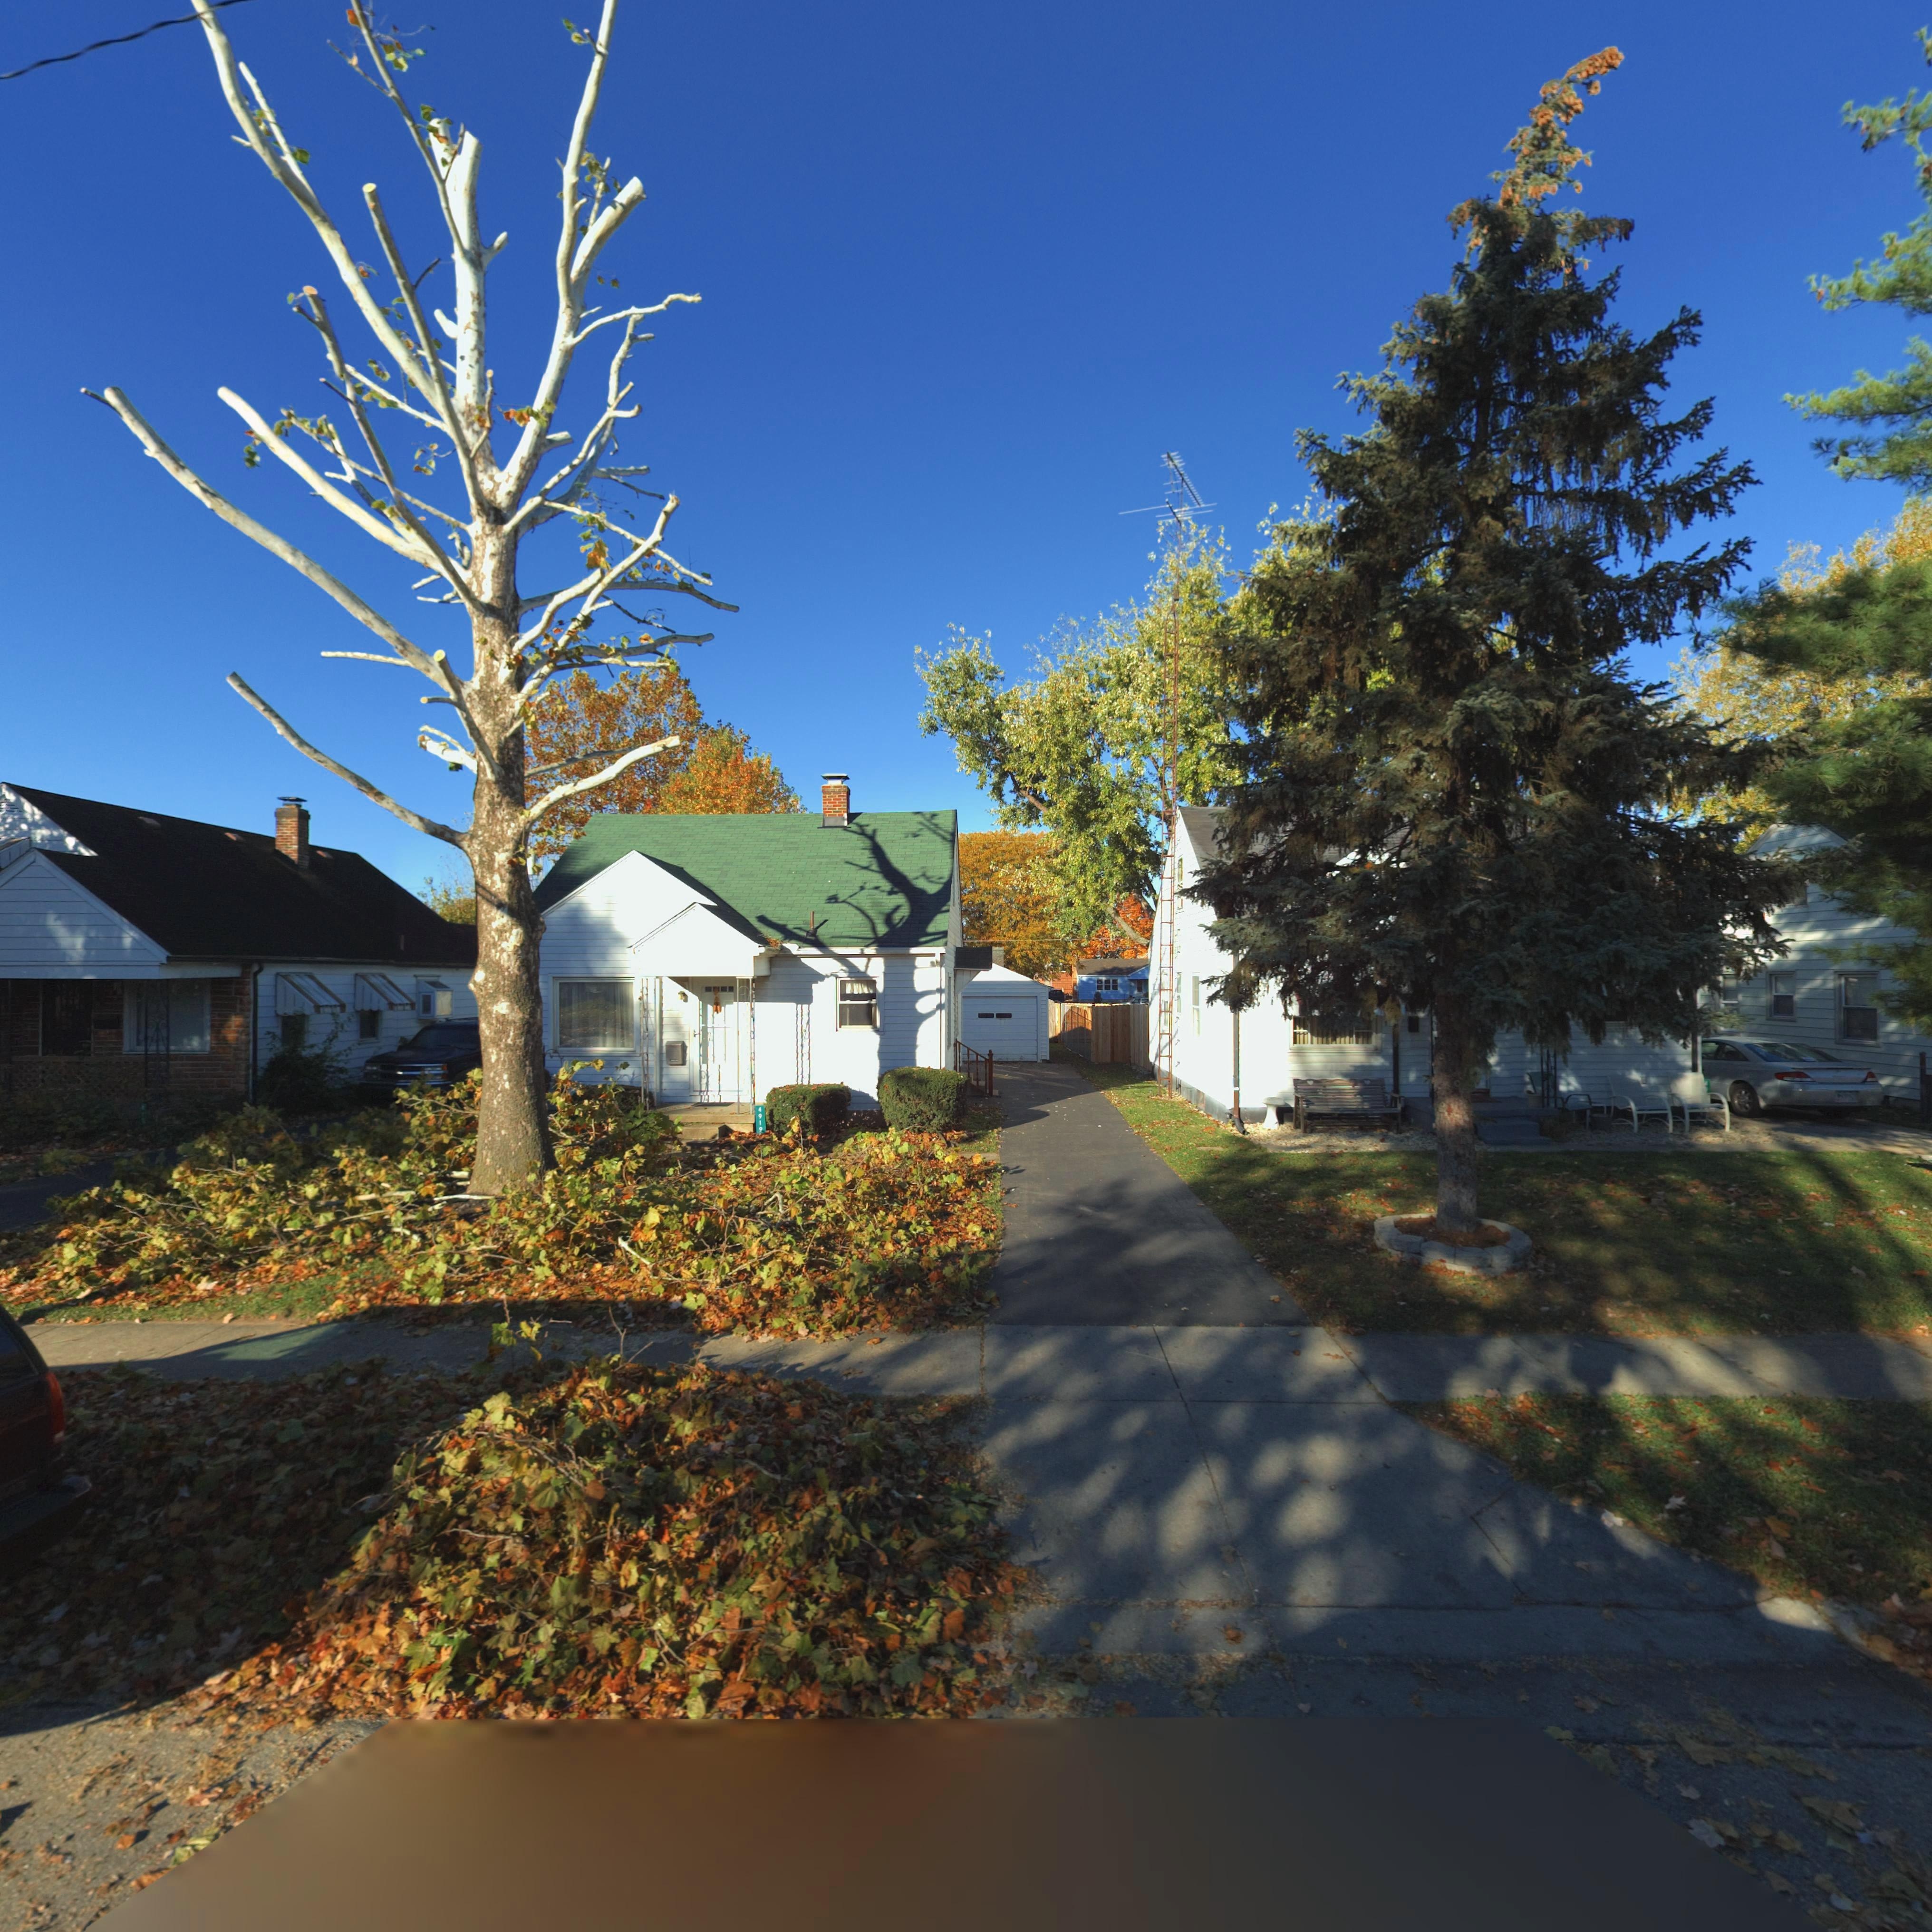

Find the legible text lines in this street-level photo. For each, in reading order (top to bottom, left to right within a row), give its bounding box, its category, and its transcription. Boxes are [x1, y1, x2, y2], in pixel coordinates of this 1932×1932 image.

[756, 1105, 764, 1133] StreetNumber: 4919